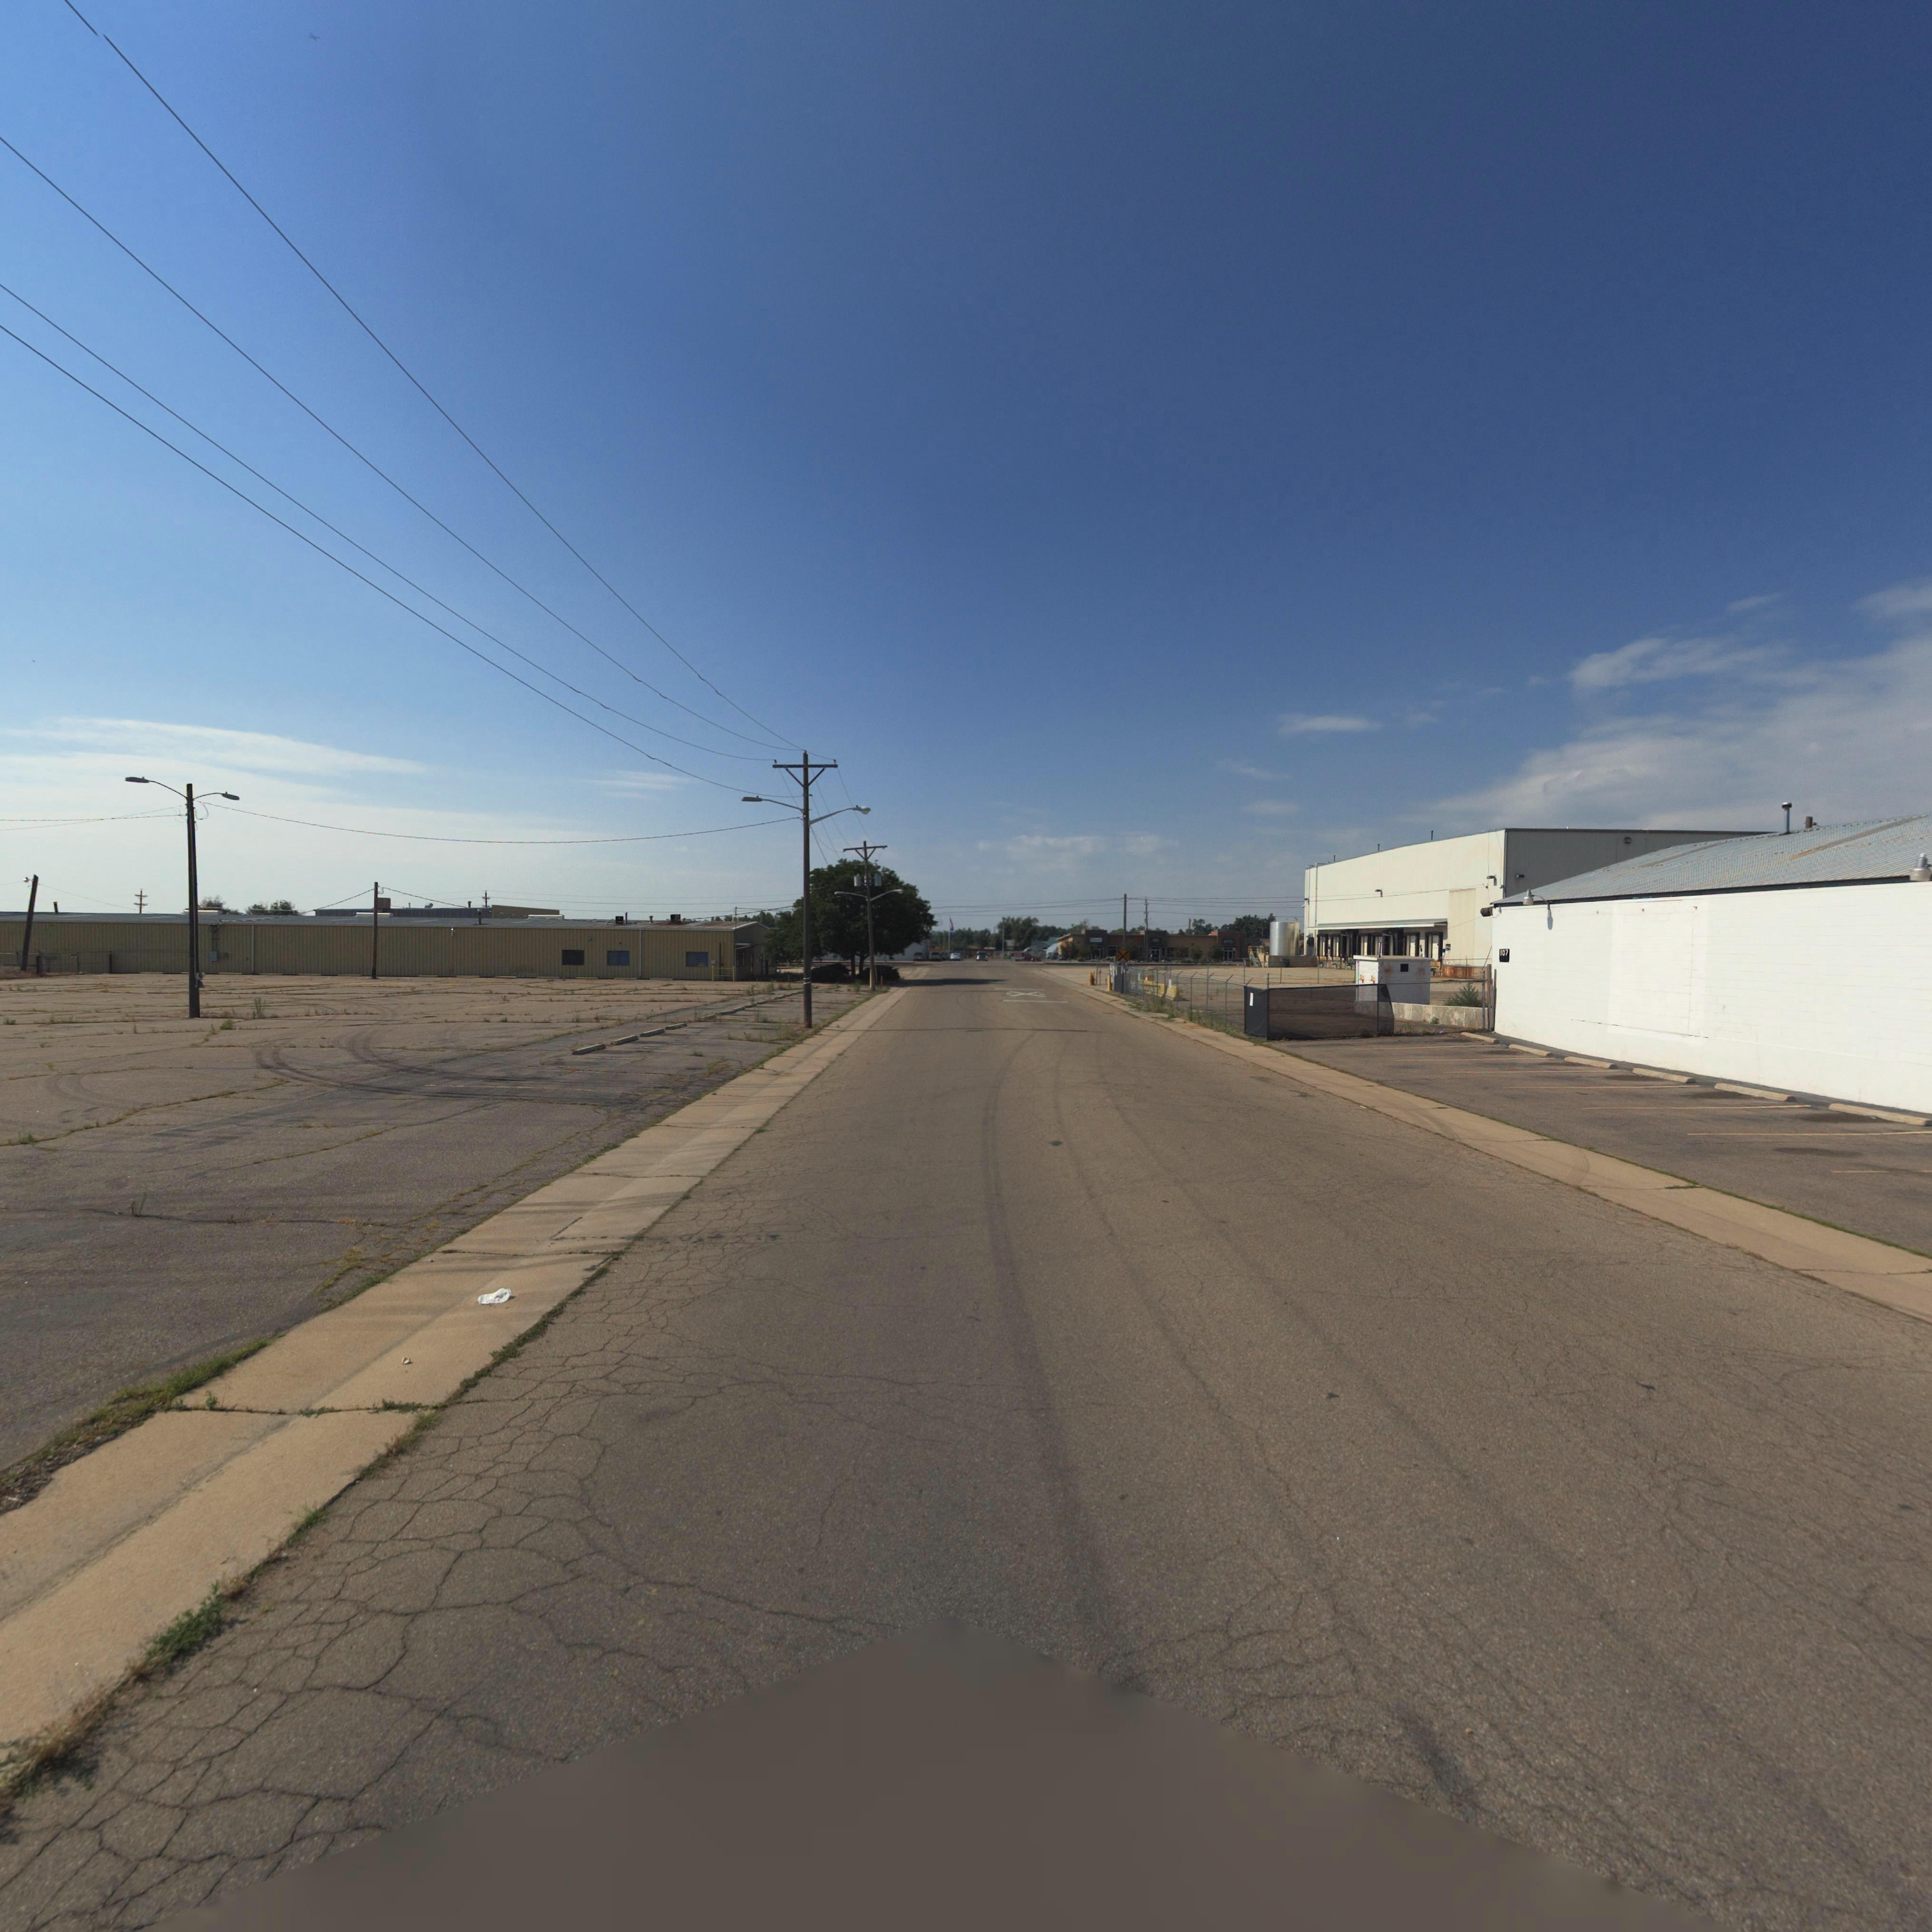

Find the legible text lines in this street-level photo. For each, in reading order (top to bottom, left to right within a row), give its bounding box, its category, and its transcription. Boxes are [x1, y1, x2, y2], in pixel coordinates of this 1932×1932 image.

[1500, 949, 1508, 956] StreetNumber: 107